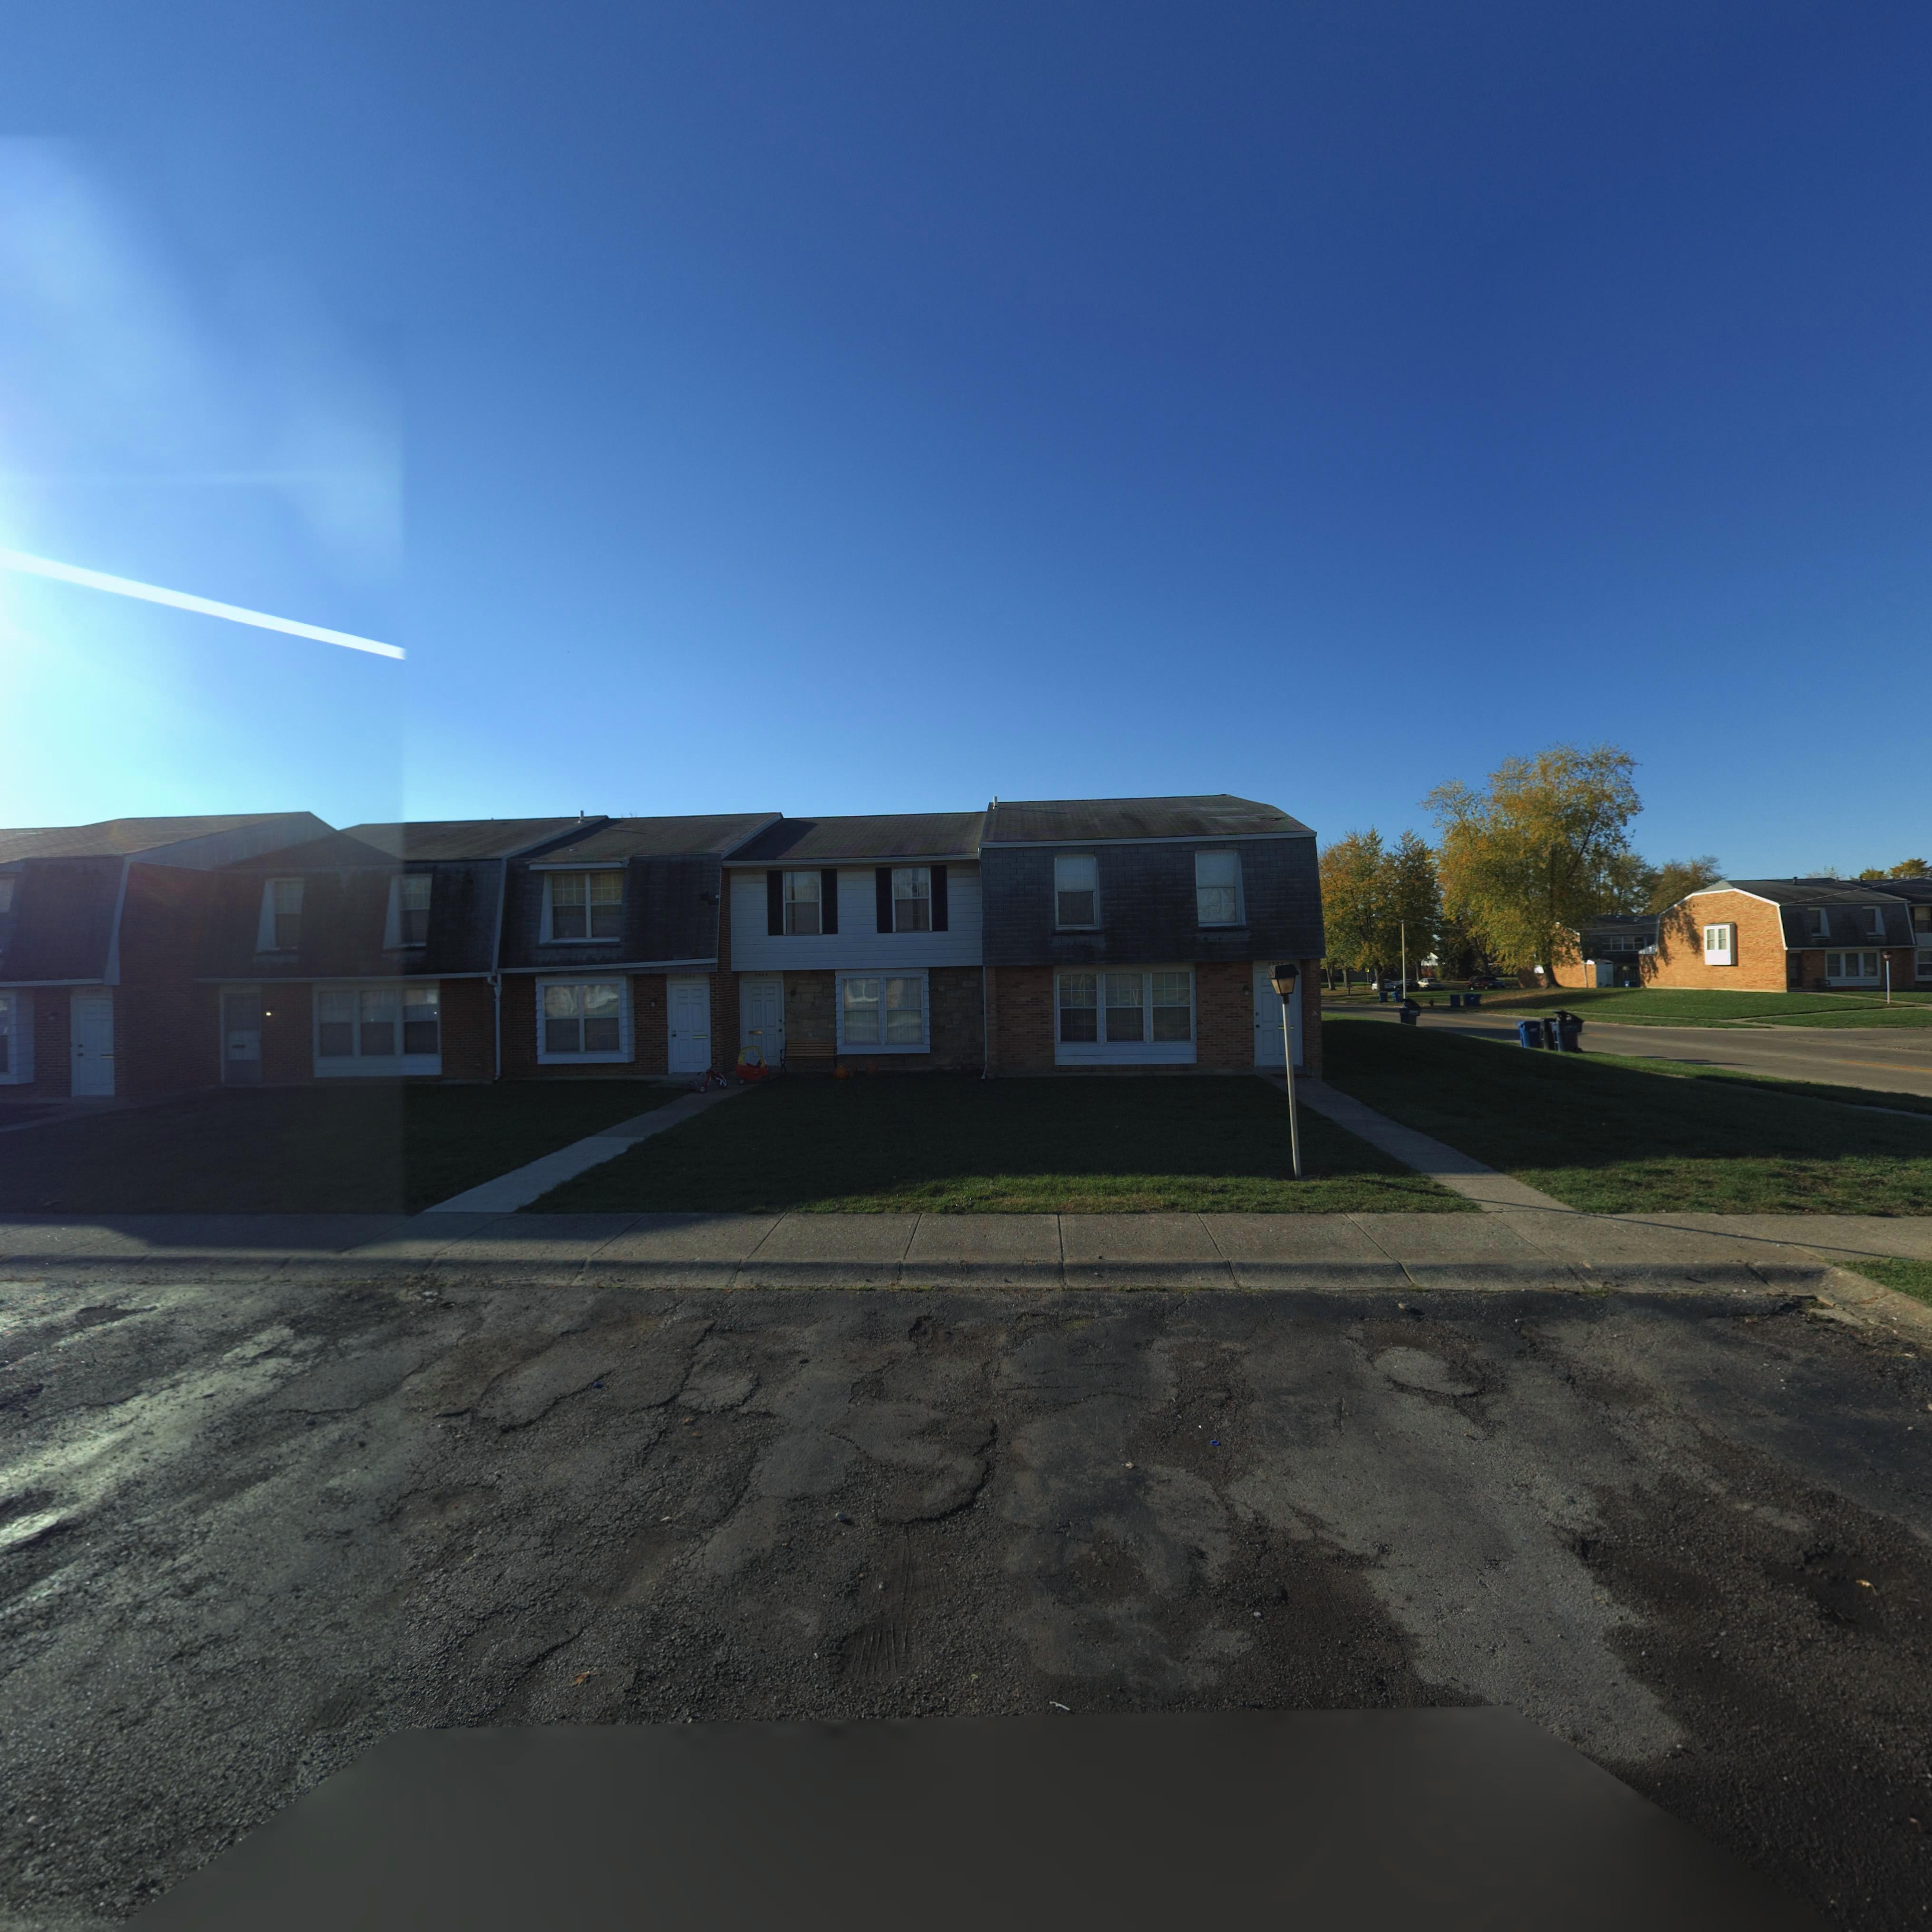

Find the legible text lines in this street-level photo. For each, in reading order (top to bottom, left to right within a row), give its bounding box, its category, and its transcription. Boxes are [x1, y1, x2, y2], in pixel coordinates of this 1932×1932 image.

[1268, 961, 1284, 966] StreetNumber: 7***
[680, 973, 697, 980] StreetNumber: 75**
[754, 972, 769, 978] StreetNumber: 7584
[85, 988, 103, 994] StreetNumber: 7***